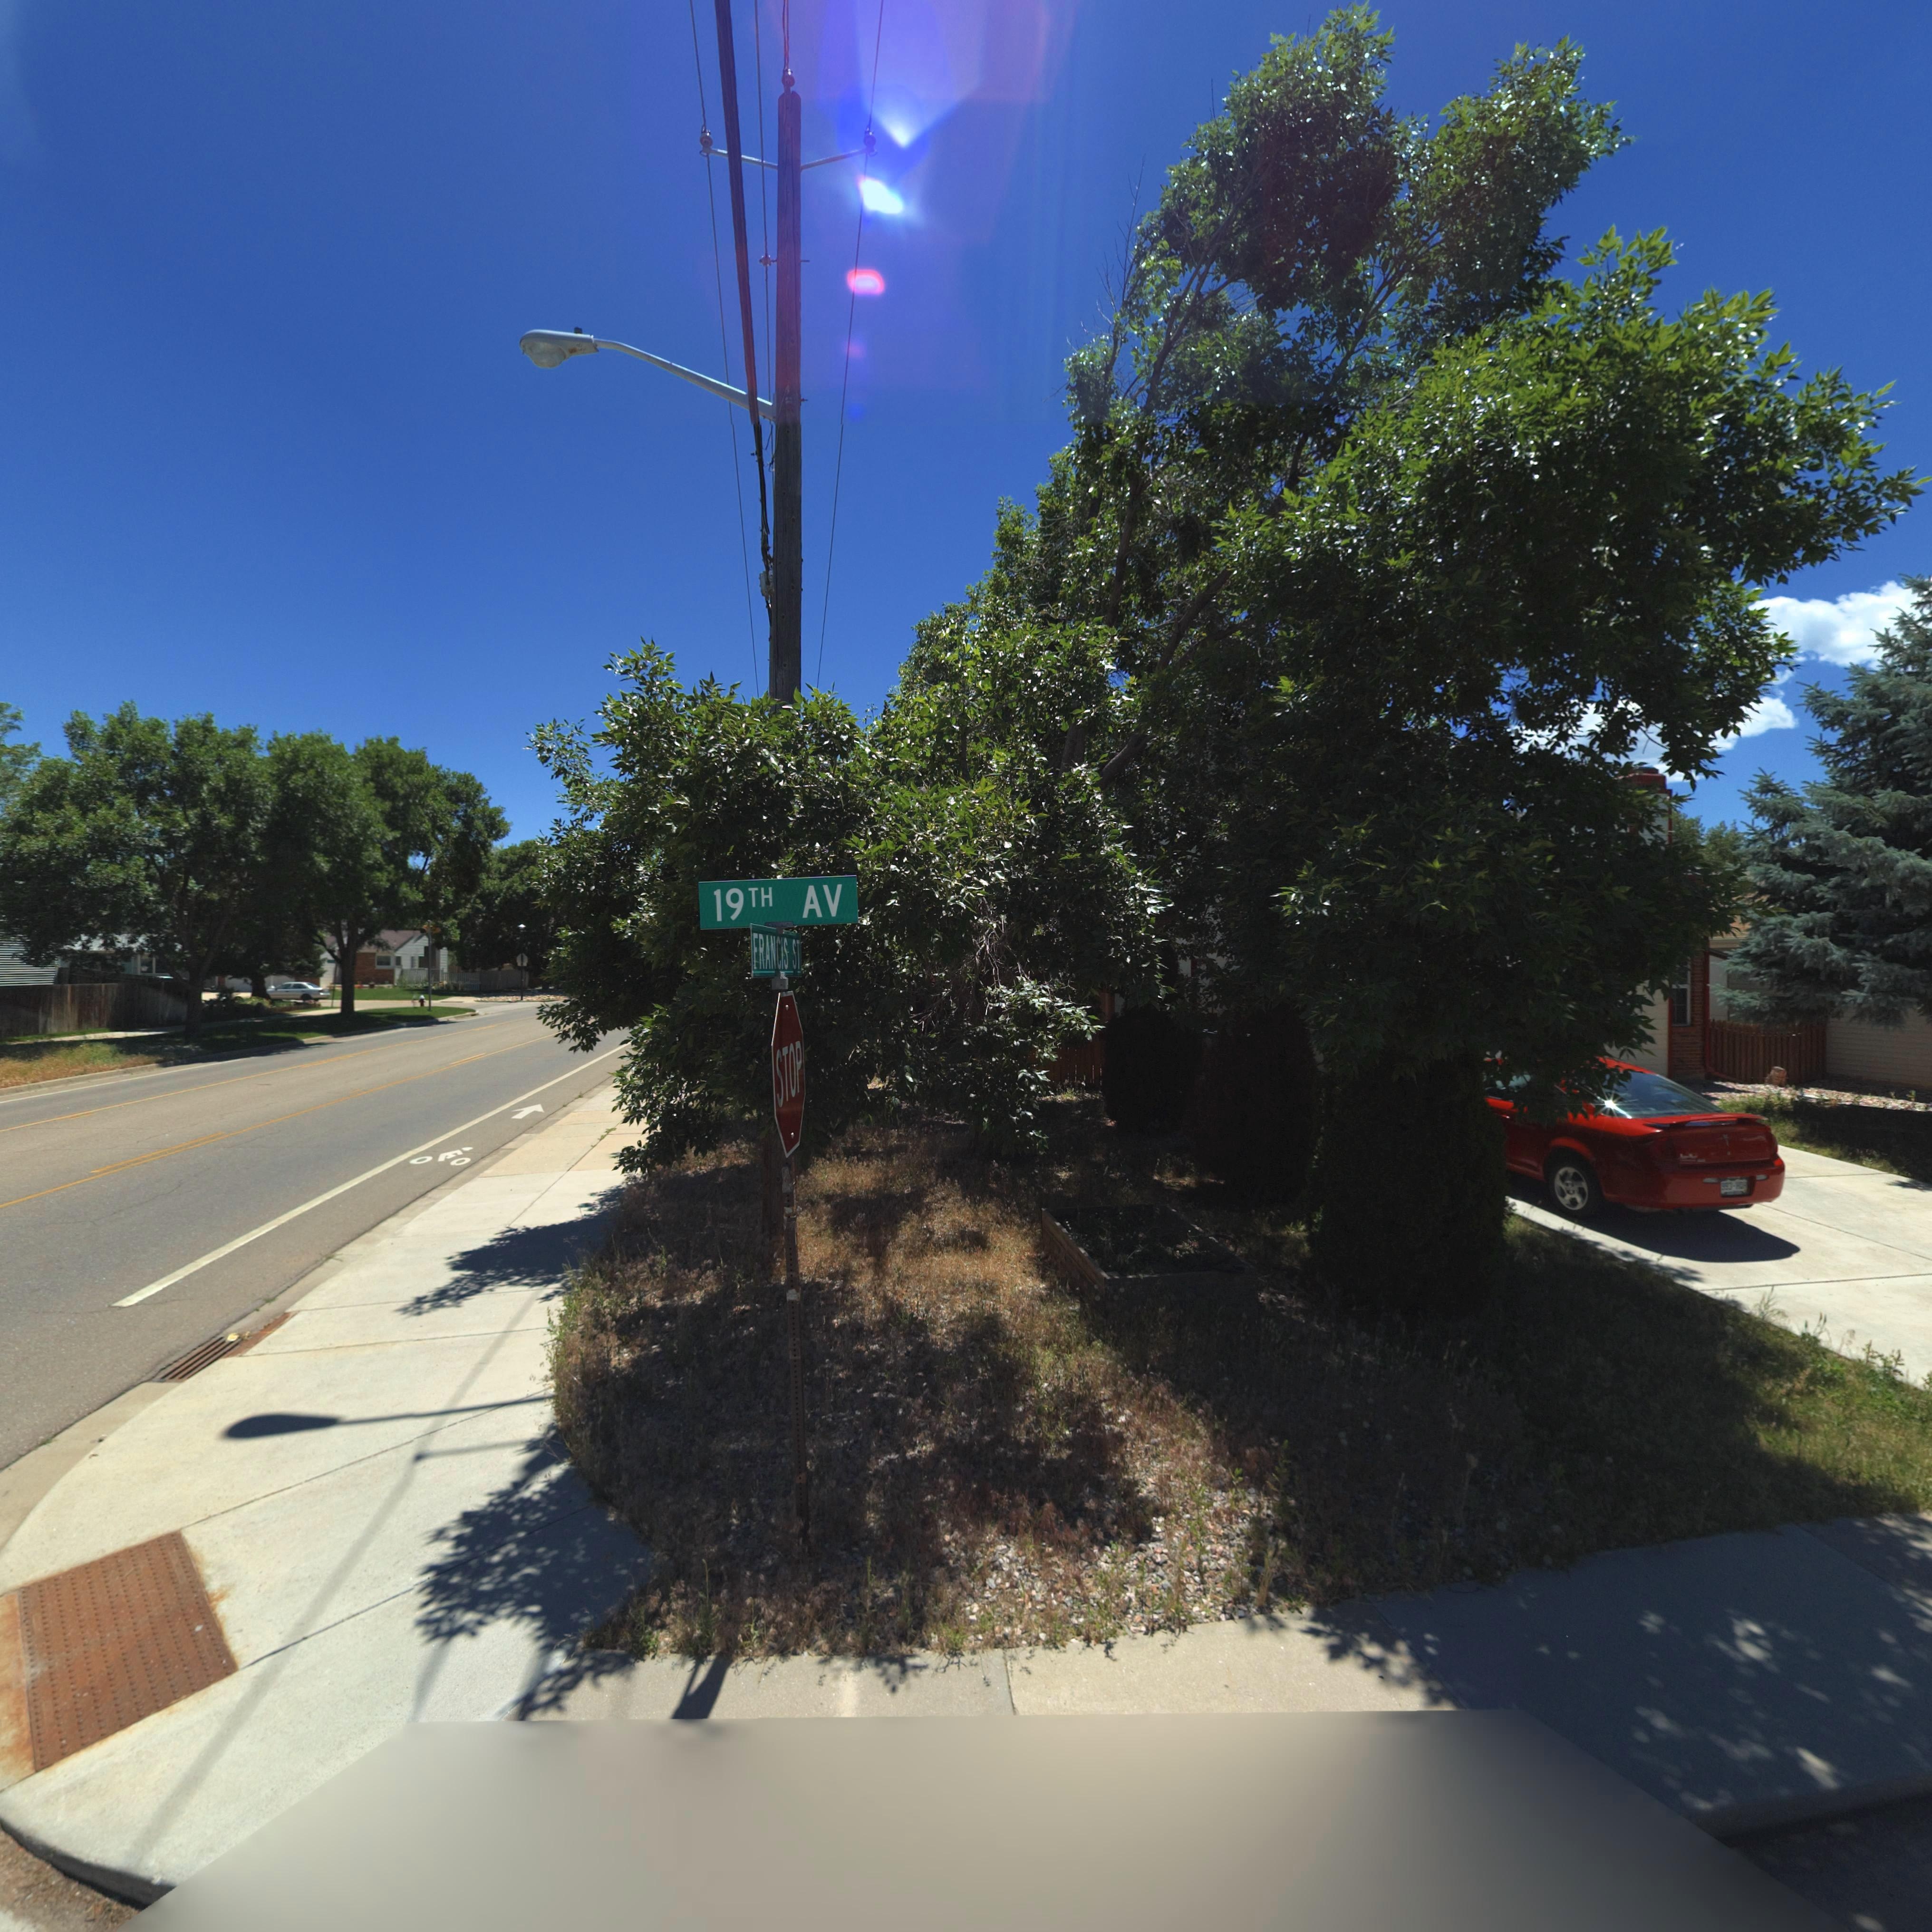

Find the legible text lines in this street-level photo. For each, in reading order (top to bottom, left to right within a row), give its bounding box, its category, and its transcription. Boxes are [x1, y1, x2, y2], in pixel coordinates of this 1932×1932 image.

[711, 882, 849, 923] StreetName: 19TH AV
[751, 930, 802, 971] StreetName: FRANCIS ST